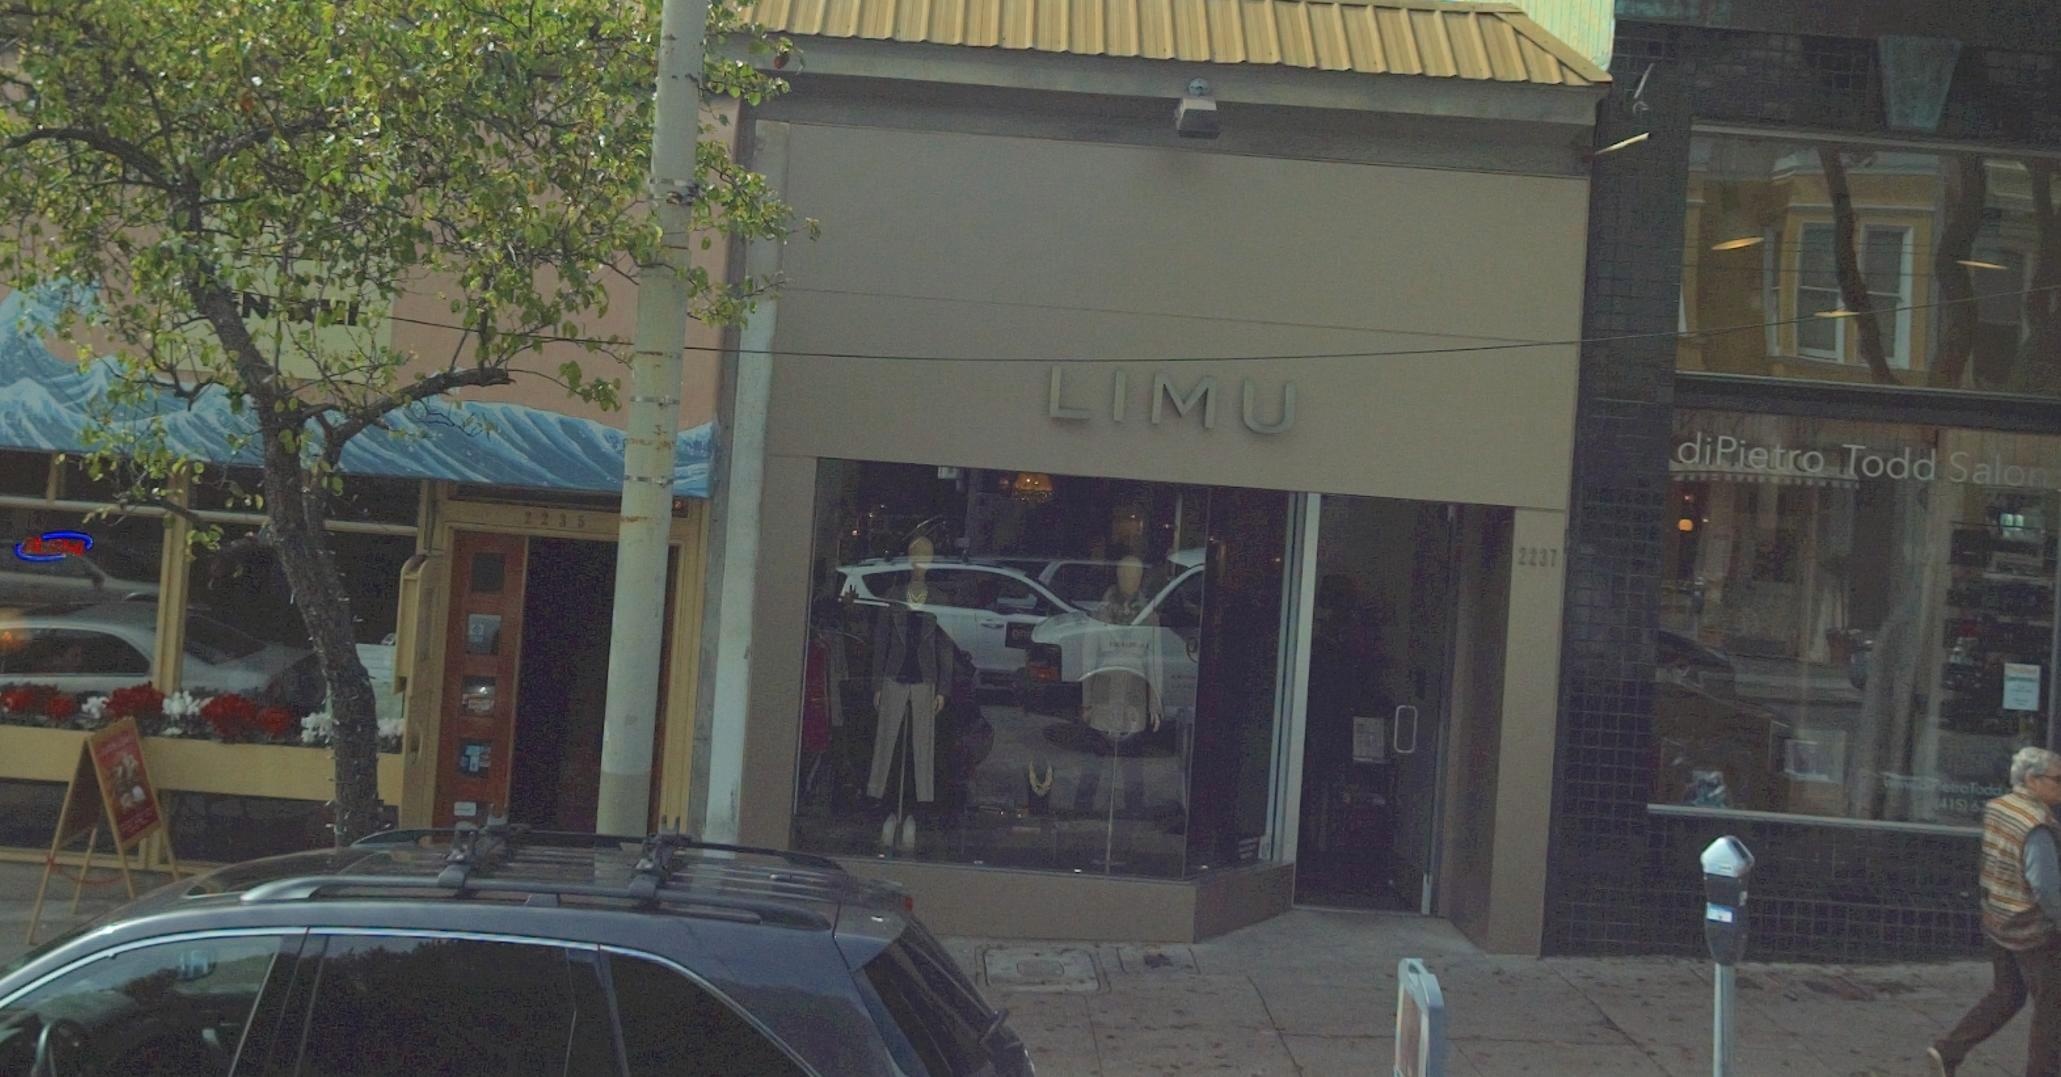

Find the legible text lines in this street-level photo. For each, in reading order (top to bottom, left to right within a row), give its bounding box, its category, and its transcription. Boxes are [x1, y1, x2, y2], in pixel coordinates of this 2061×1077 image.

[1045, 361, 1299, 437] BusinessName: LIMU
[1673, 426, 2052, 492] BusinessName: diPietro Todd Salon
[521, 508, 588, 532] StreetNumber: 2235
[1515, 544, 1561, 570] StreetNumber: 2237
[1957, 779, 2004, 799] BusinessName: oTodd
[1935, 794, 1984, 815] None: 415)6